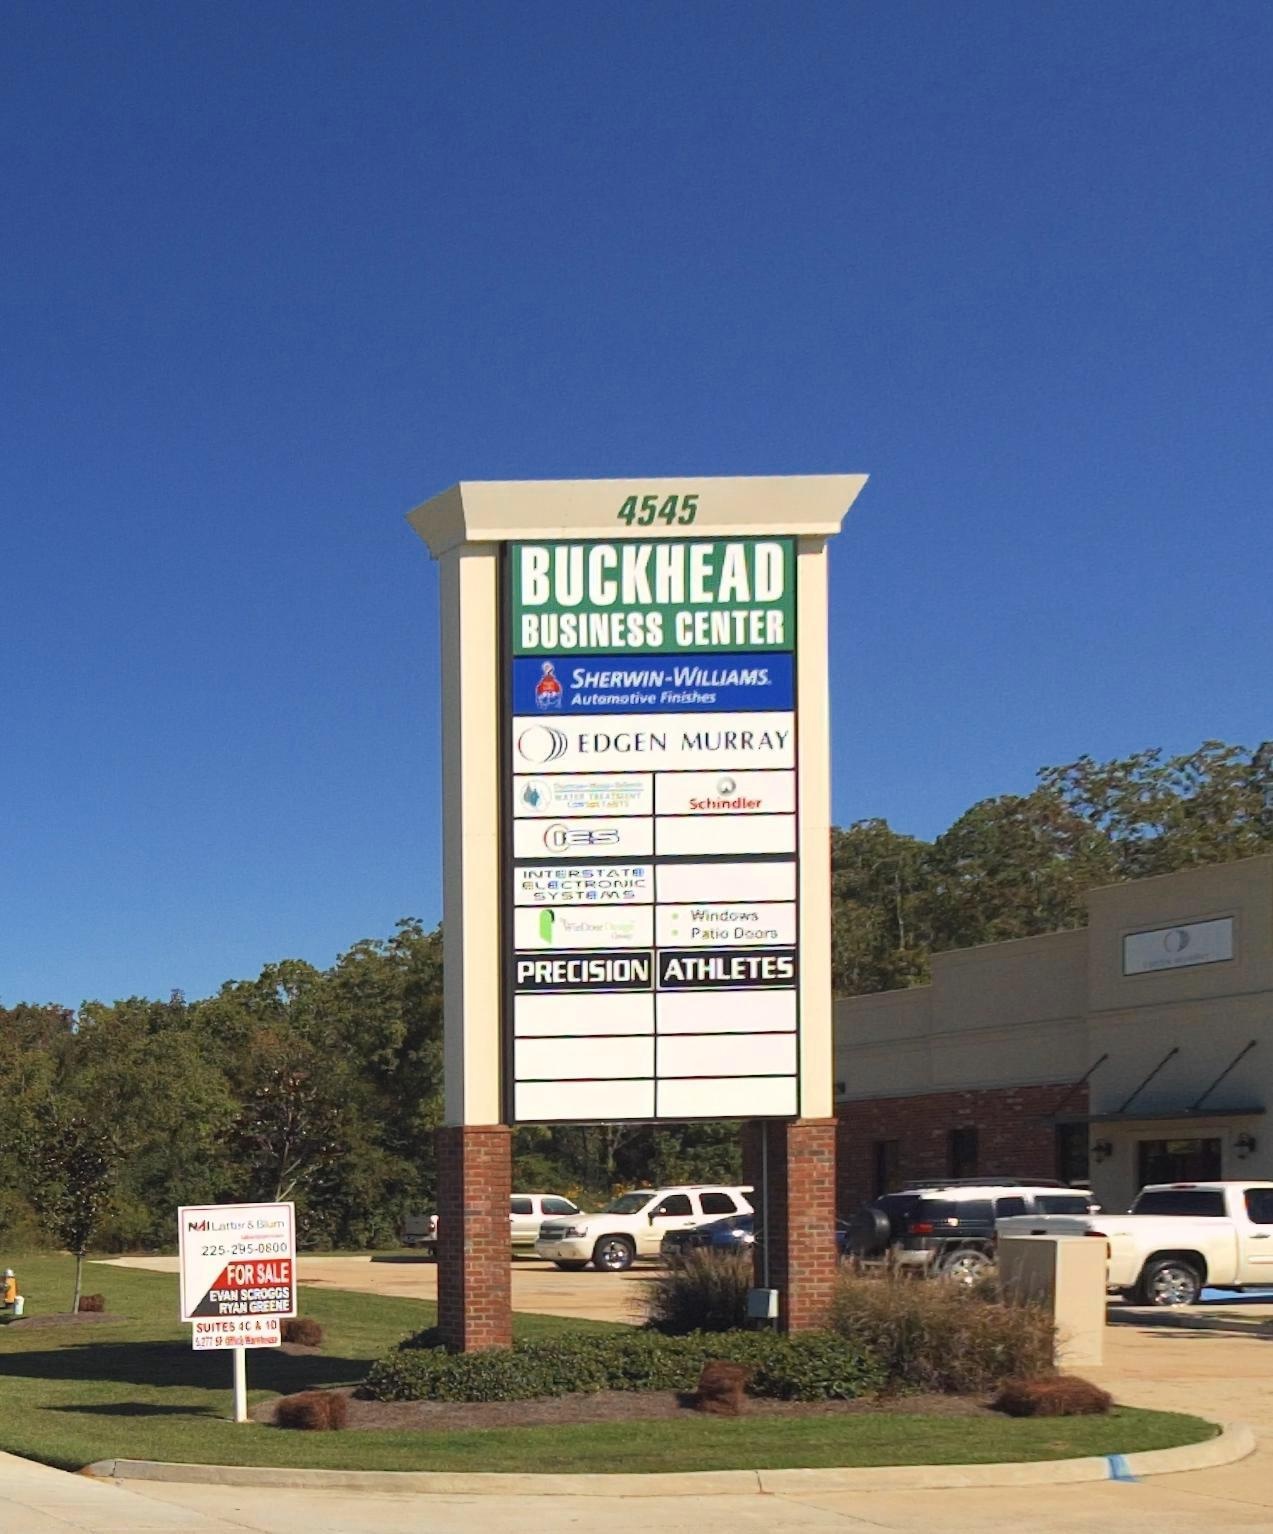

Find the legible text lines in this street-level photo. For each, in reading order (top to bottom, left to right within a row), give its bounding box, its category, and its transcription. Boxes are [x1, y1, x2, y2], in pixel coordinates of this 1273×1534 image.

[613, 492, 703, 529] StreetNumber: 4545
[518, 539, 788, 610] BusinessName: BUCKHEAD
[519, 606, 789, 652] BusinessName: BUSINESS CENTER
[566, 662, 772, 691] BusinessName: SHERWIN-WILLIAMS
[565, 688, 720, 708] None: Automotive Finishes
[576, 727, 792, 755] BusinessName: EDGEN MURRAY
[687, 795, 765, 811] BusinessName: Schindler
[564, 827, 621, 847] BusinessName: ES
[521, 866, 646, 880] BusinessName: INTERSTATE
[519, 877, 650, 892] BusinessName: ELECTRONIC
[532, 888, 639, 903] BusinessName: SYSTEMS
[687, 905, 763, 925] None: Windows
[689, 925, 780, 941] None: Patio Doors
[514, 952, 797, 987] BusinessName: PRECISION ATHLETES
[186, 1216, 286, 1234] BusinessName: NAI LATHER * B***
[198, 1239, 289, 1258] None: 225-285-0800
[225, 1260, 291, 1287] None: FOR SALE
[206, 1284, 293, 1303] None: EVAN SCROG*S
[217, 1298, 292, 1316] None: RYAN GREENE
[193, 1317, 280, 1335] SecondaryUnitDesignator: SUITES 4C & 1D